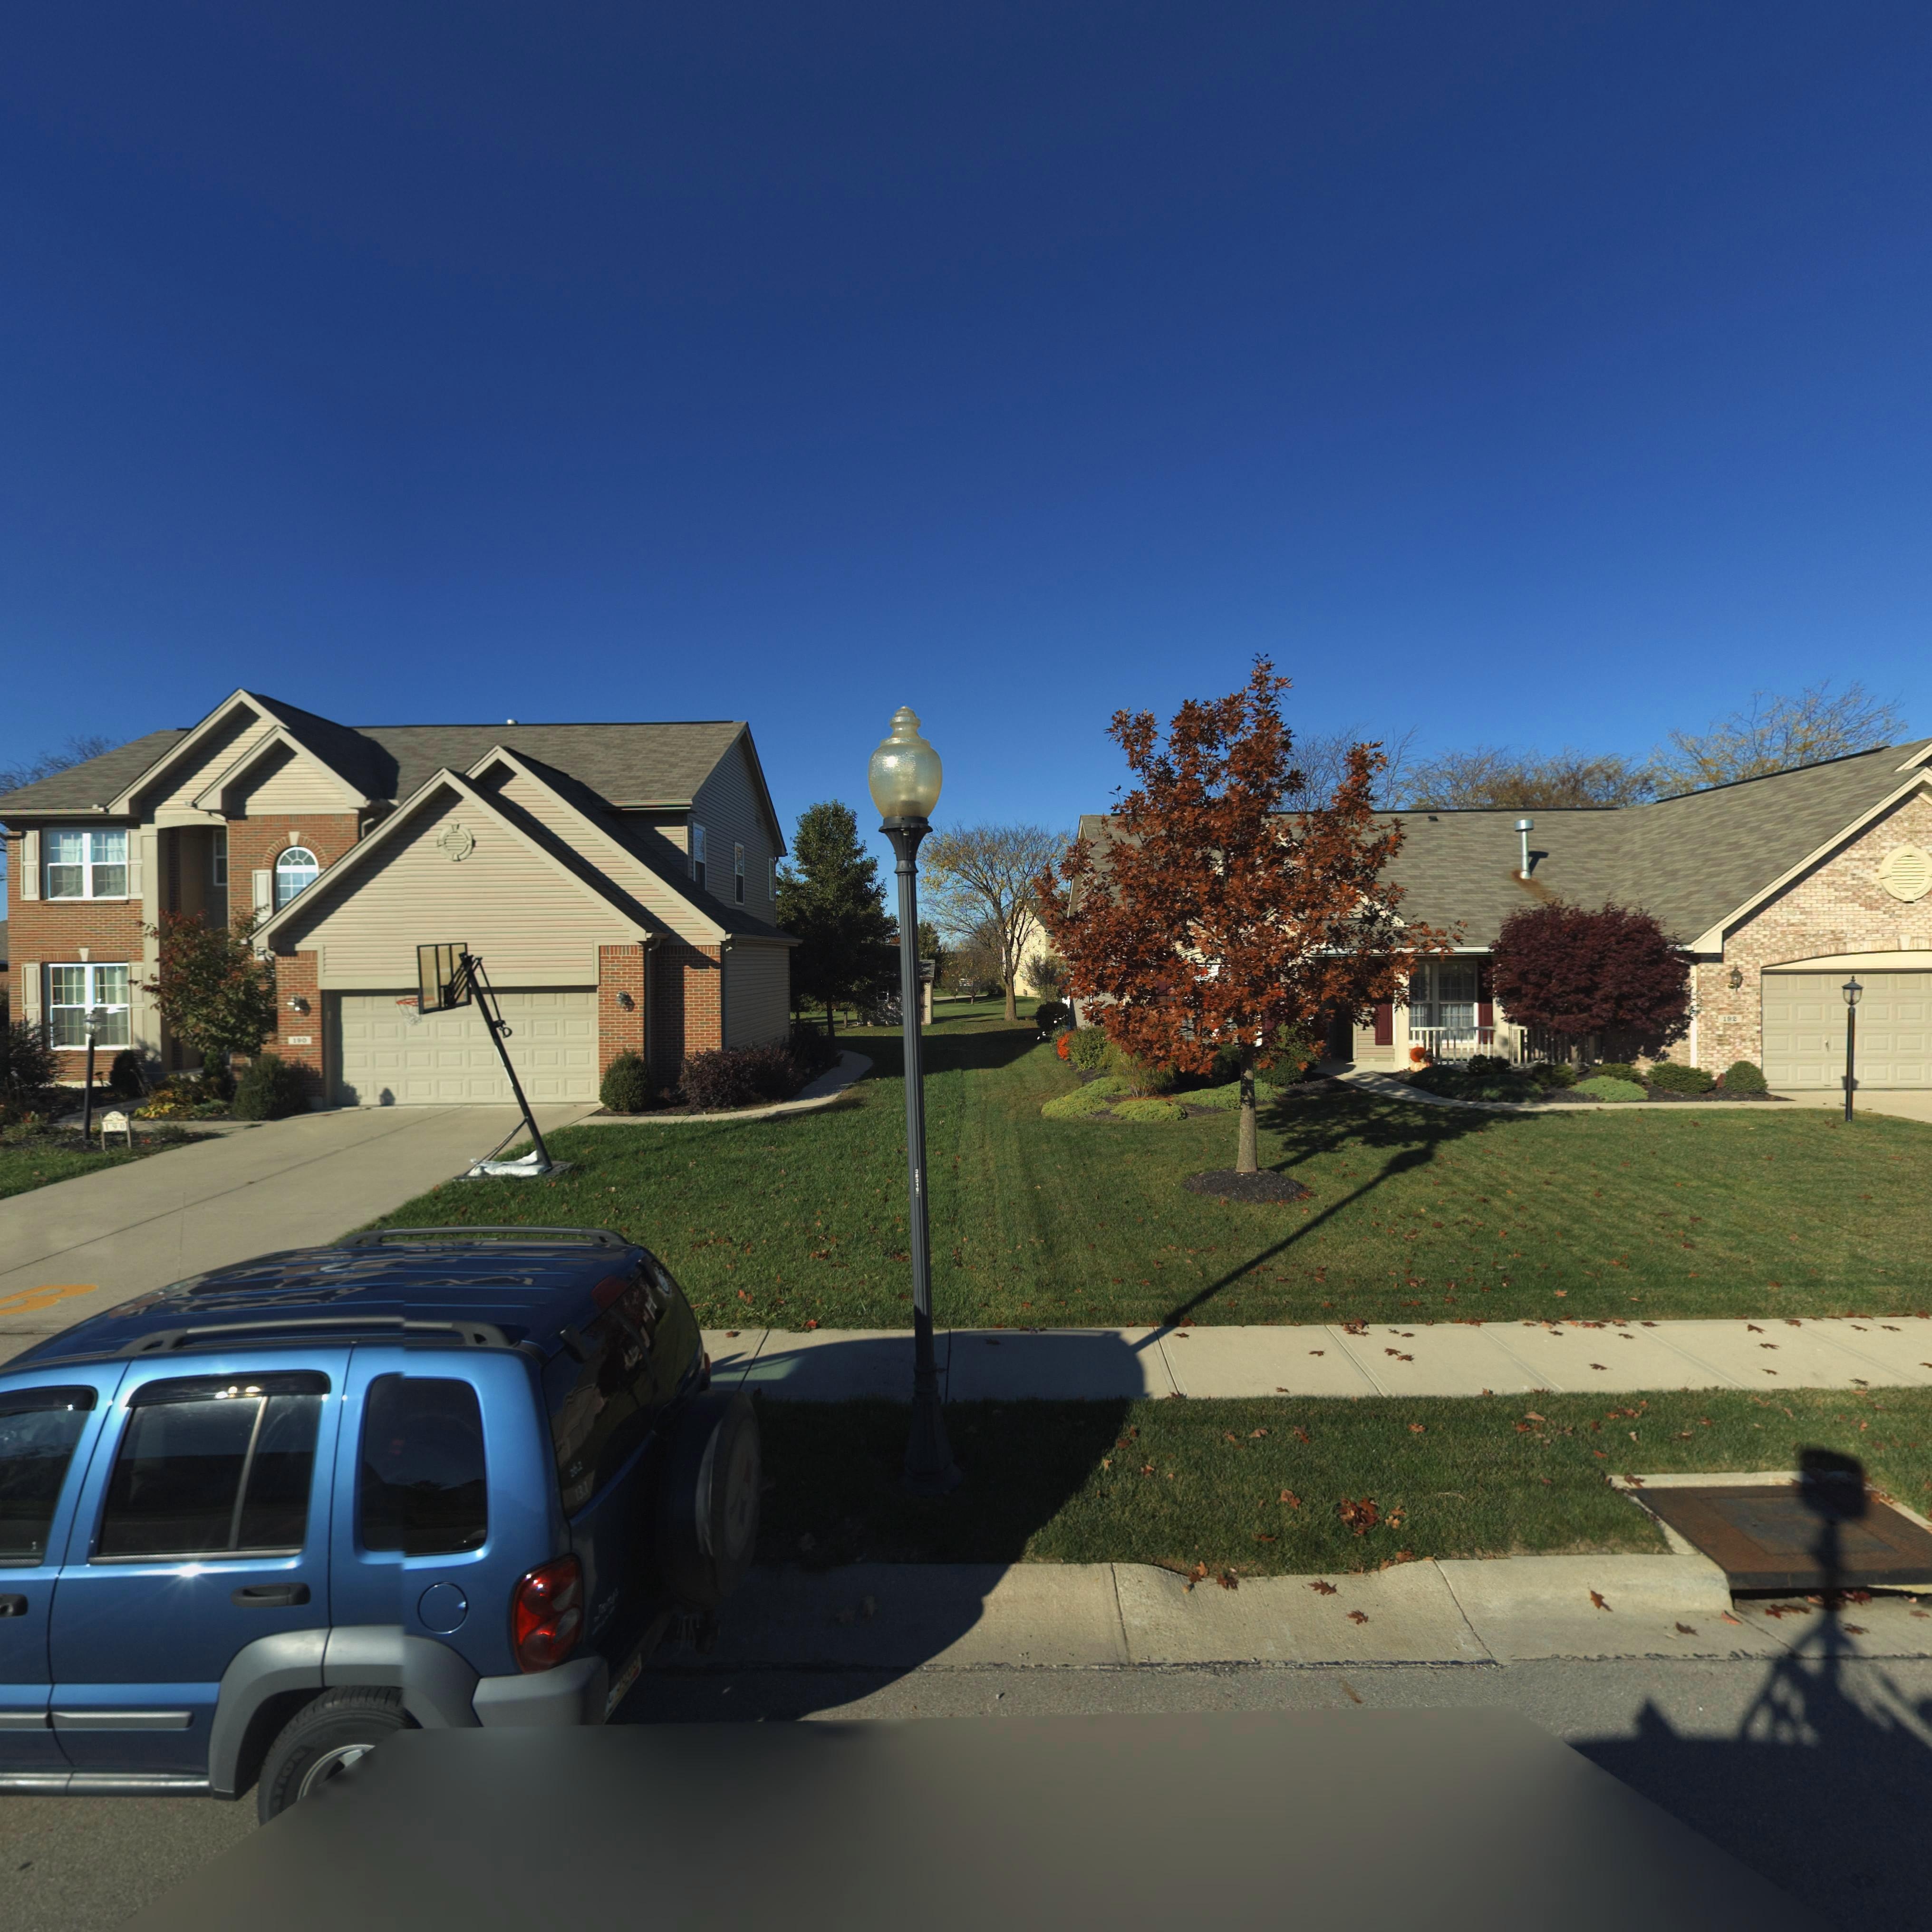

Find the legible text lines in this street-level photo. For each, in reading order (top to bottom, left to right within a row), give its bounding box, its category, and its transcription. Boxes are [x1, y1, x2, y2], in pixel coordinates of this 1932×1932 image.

[1722, 1015, 1738, 1023] StreetNumber: 1*2
[292, 1036, 308, 1045] StreetNumber: 1*0